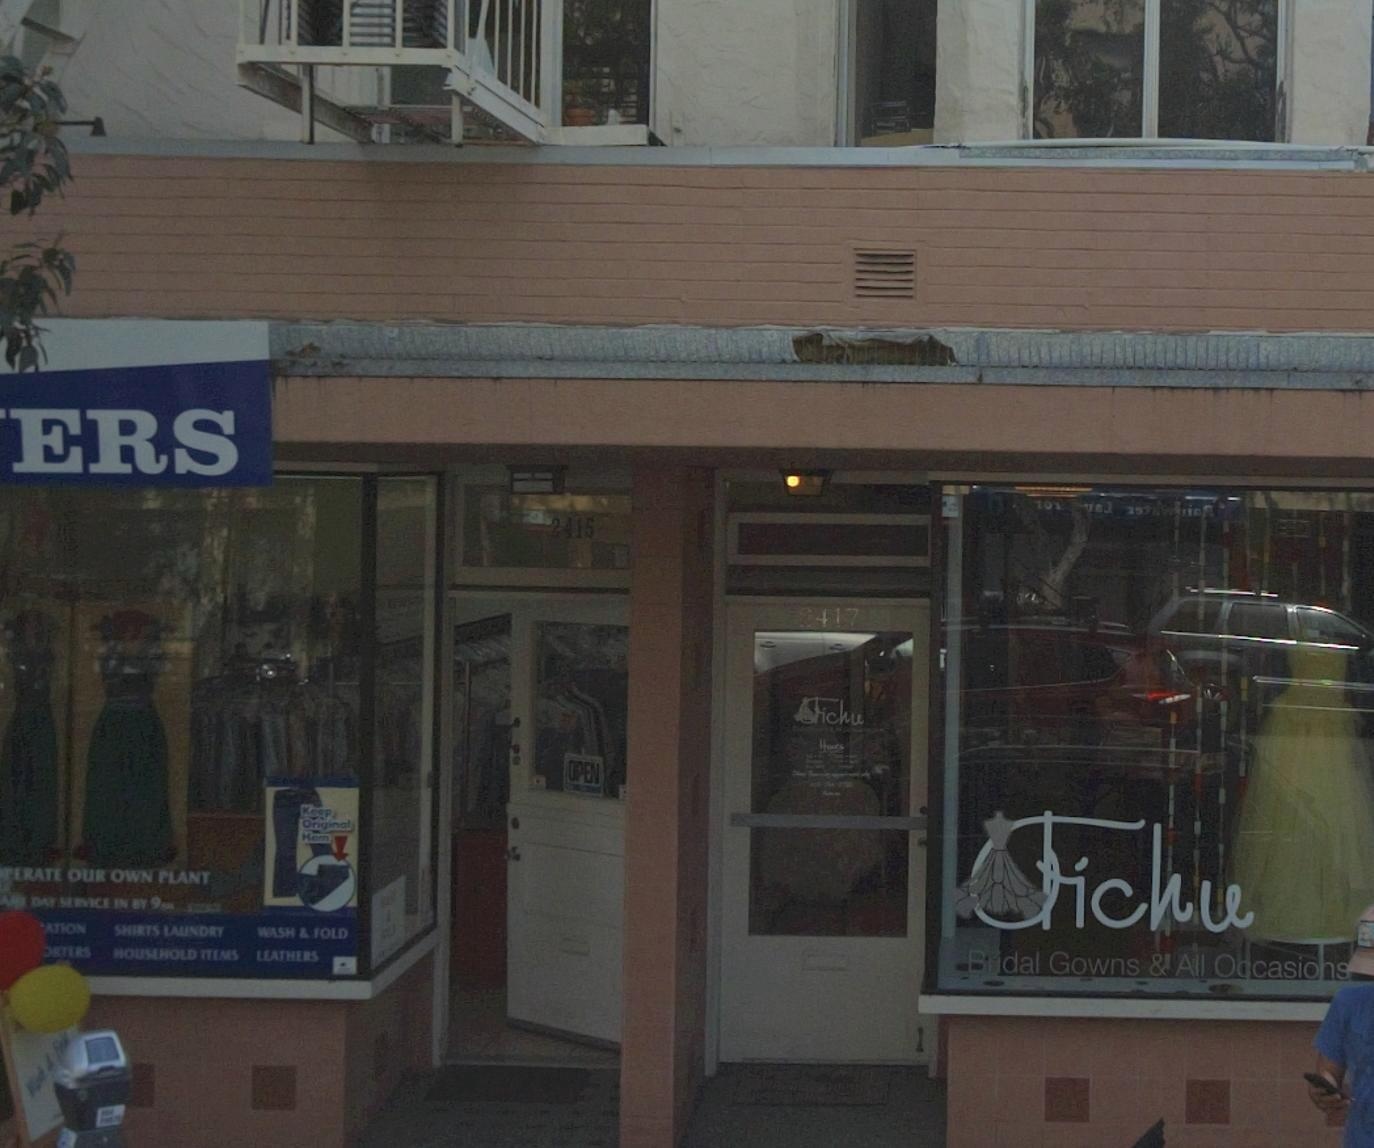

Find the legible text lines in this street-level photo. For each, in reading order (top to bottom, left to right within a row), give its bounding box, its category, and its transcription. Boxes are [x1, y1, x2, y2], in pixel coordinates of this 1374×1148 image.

[7, 405, 242, 479] BusinessName: ERS
[548, 514, 597, 542] StreetNumber: 2415
[795, 603, 863, 630] StreetNumber: 2417
[820, 695, 867, 727] BusinessName: ichu
[566, 757, 602, 787] None: OPEN
[298, 803, 335, 821] None: Keep
[300, 816, 353, 833] None: Original
[299, 830, 332, 845] None: Hem
[12, 864, 214, 887] None: ERATE OUR OWN PLANT
[1071, 817, 1260, 936] BusinessName: ichu
[148, 894, 164, 912] None: 9
[41, 920, 89, 937] None: ATION
[112, 921, 227, 940] None: SHIRTS LAUNDY
[252, 923, 352, 943] None: WASH & FOLD
[49, 942, 94, 962] None: RTERS
[110, 944, 243, 964] None: HOUSEHOLD ITEMS
[254, 947, 322, 965] None: LEATHERS
[965, 946, 1352, 983] None: Bridal Gowns & All Occasions